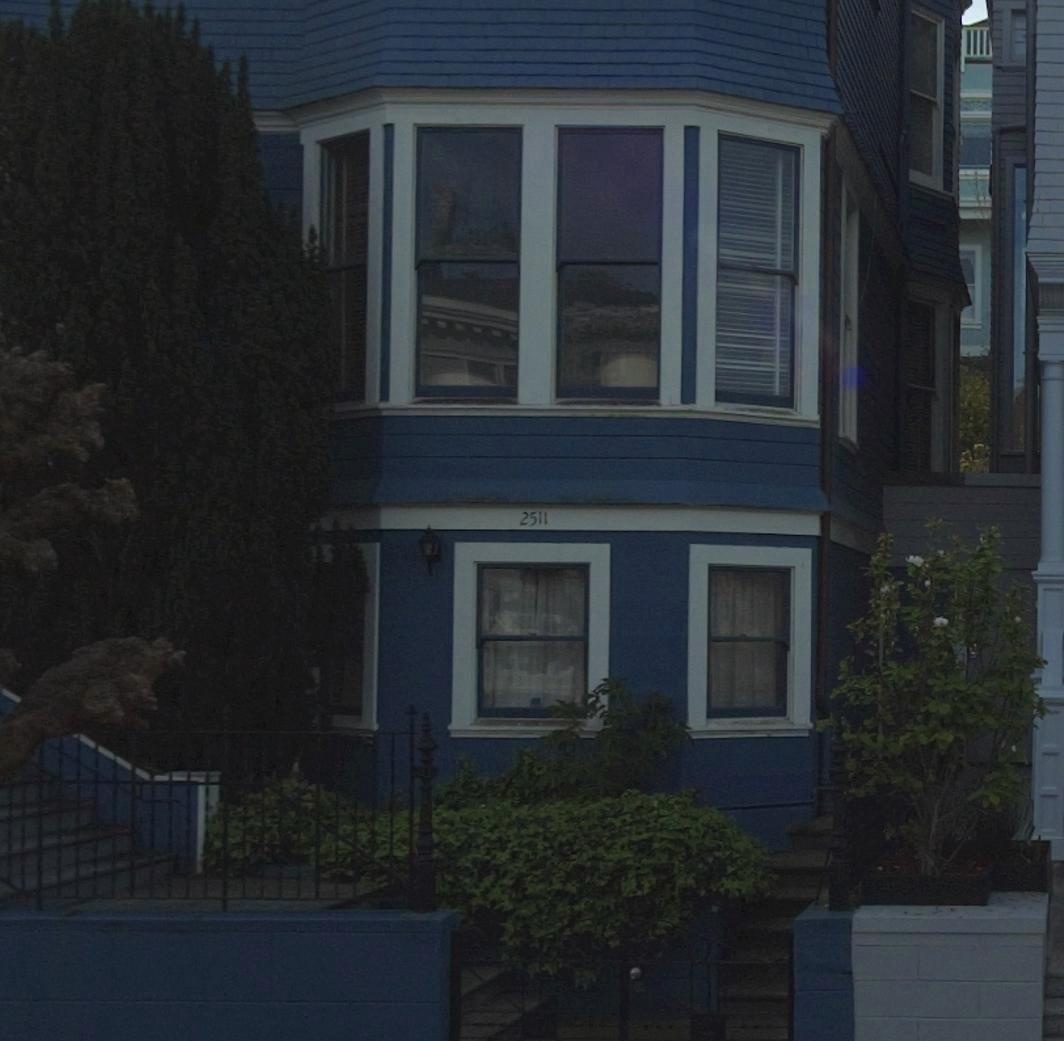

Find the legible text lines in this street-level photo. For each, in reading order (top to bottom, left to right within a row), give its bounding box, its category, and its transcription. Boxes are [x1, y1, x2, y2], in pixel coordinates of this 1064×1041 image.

[518, 509, 550, 528] StreetNumber: 2511